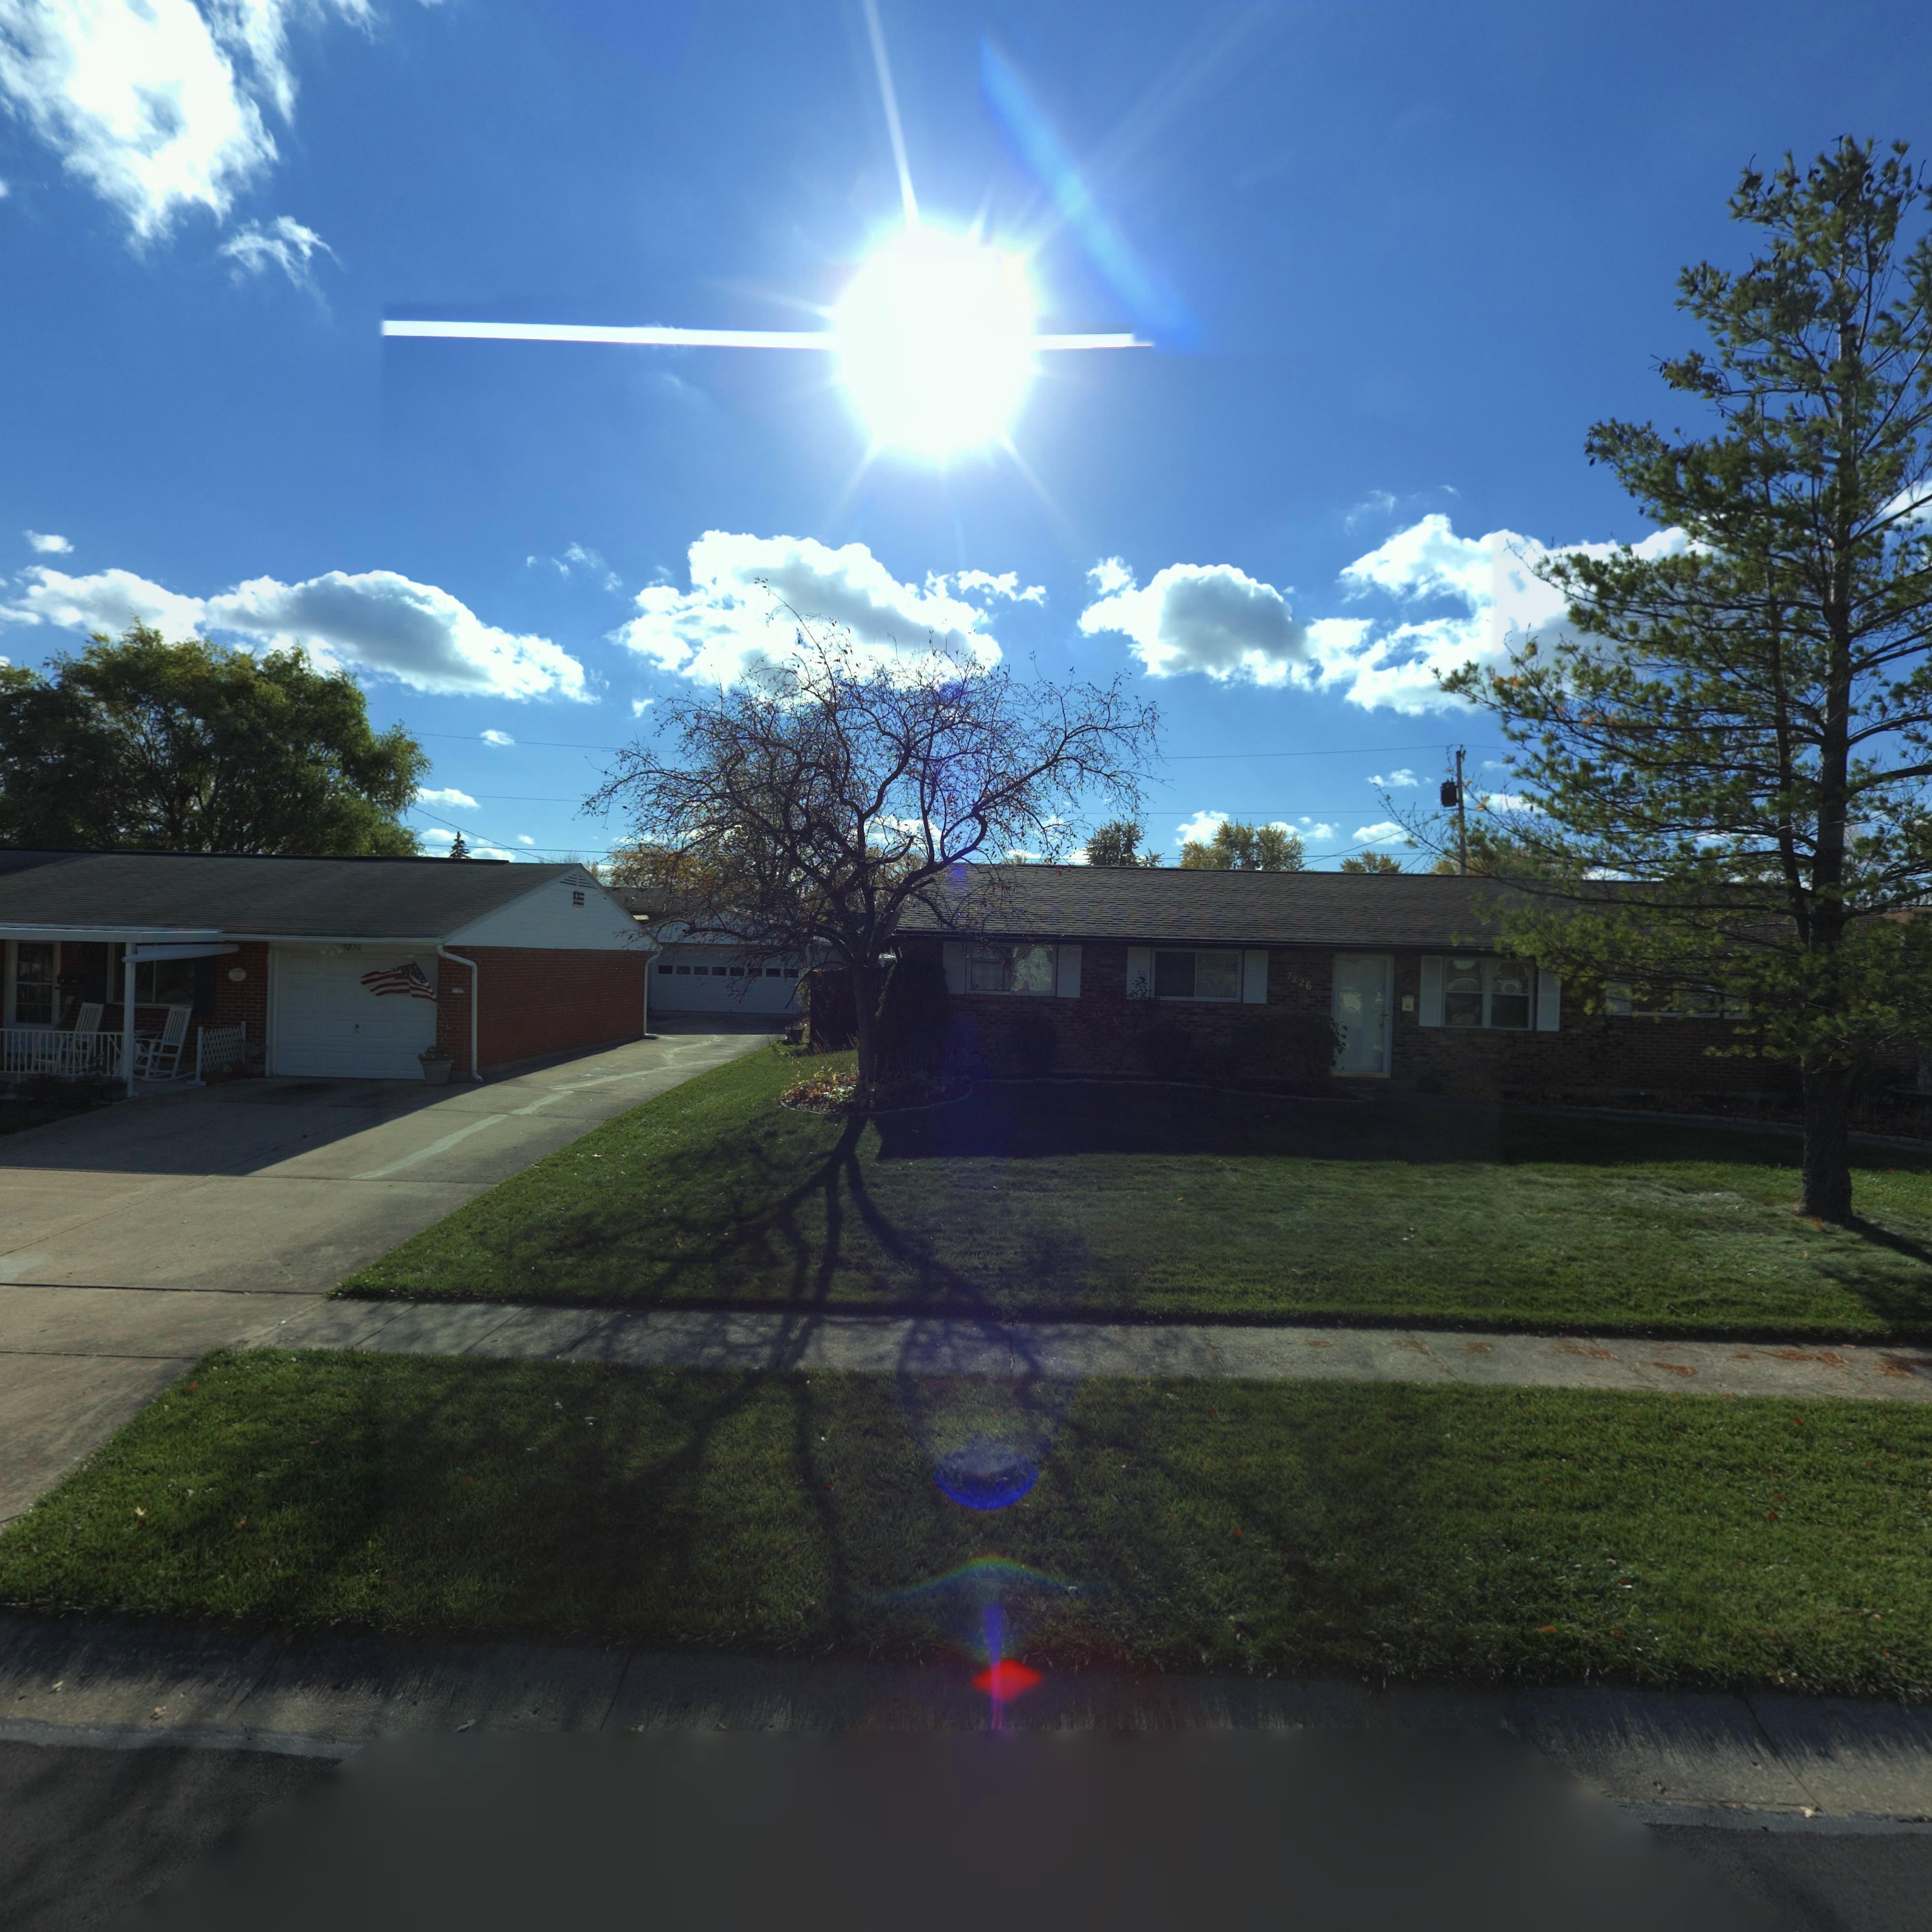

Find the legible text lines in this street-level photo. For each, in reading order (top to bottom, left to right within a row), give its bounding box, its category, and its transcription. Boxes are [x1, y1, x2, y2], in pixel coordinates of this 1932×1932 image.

[346, 943, 363, 951] StreetNumber: 230
[1285, 971, 1313, 992] StreetNumber: 7226